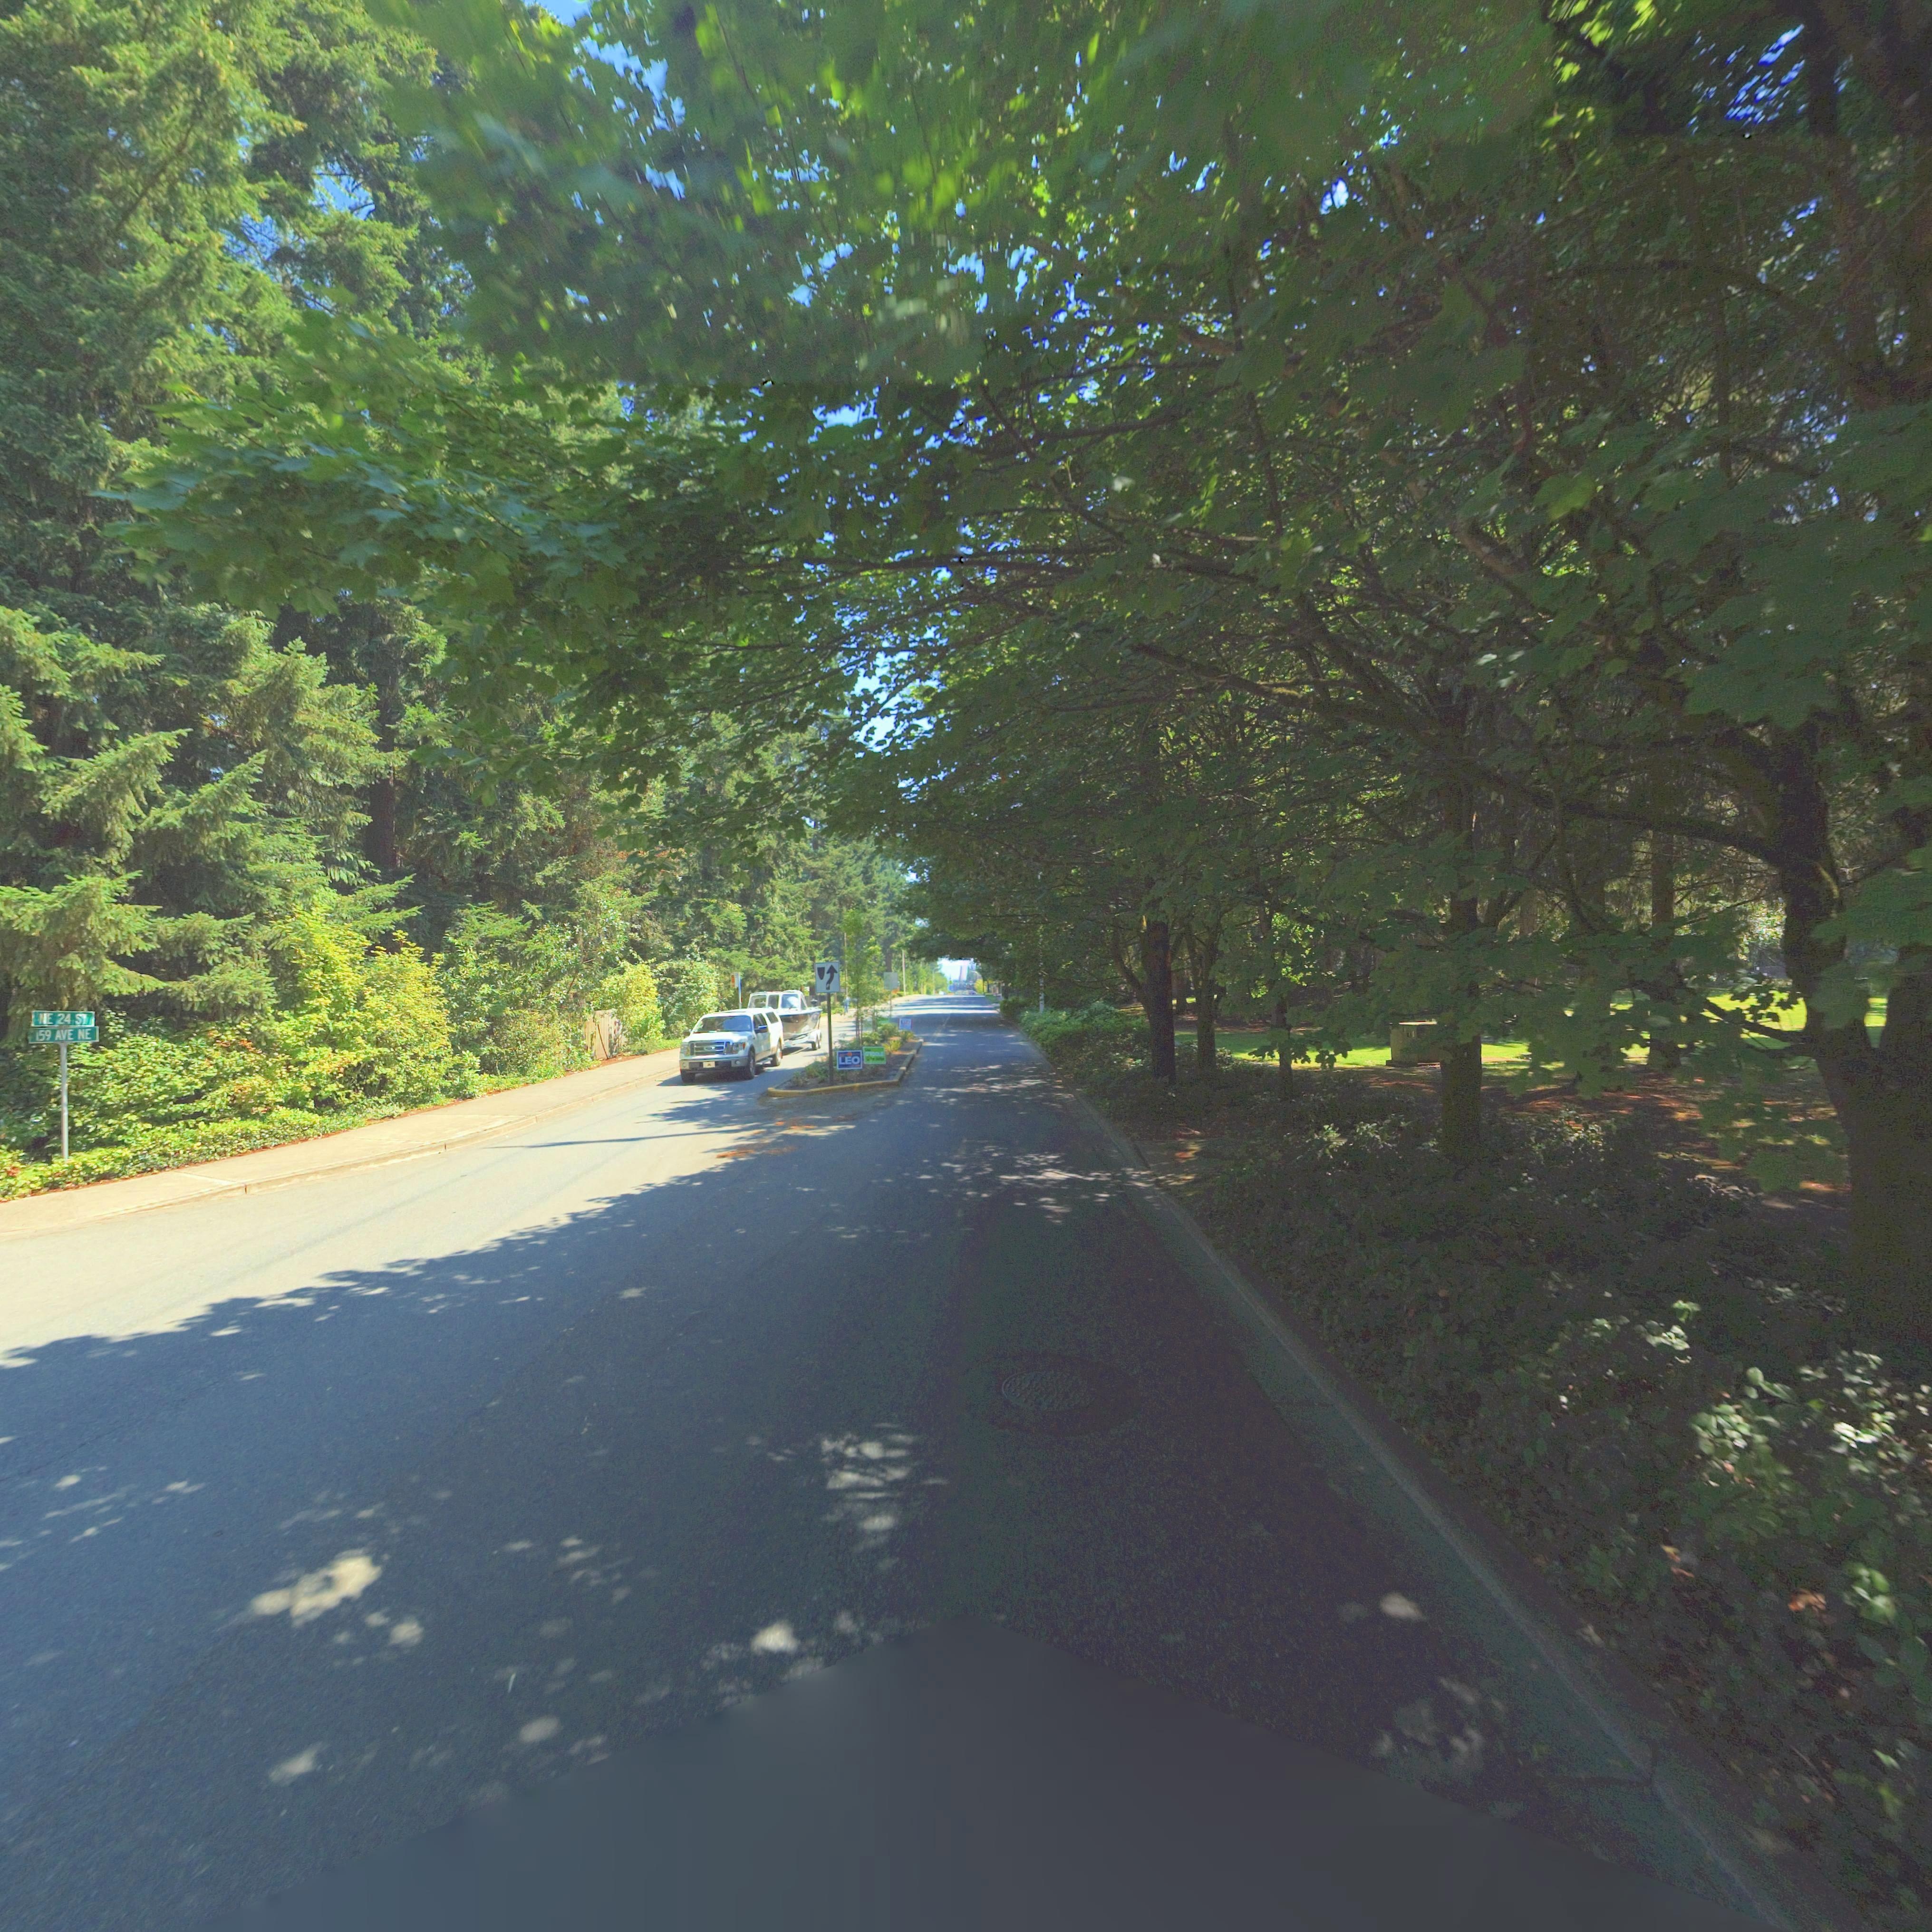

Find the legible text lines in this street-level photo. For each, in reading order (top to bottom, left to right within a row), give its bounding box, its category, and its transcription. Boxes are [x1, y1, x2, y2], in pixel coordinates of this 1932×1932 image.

[39, 1013, 87, 1024] StreetName: NE 24 S*
[36, 1028, 91, 1041] StreetName: 159 AVE NE